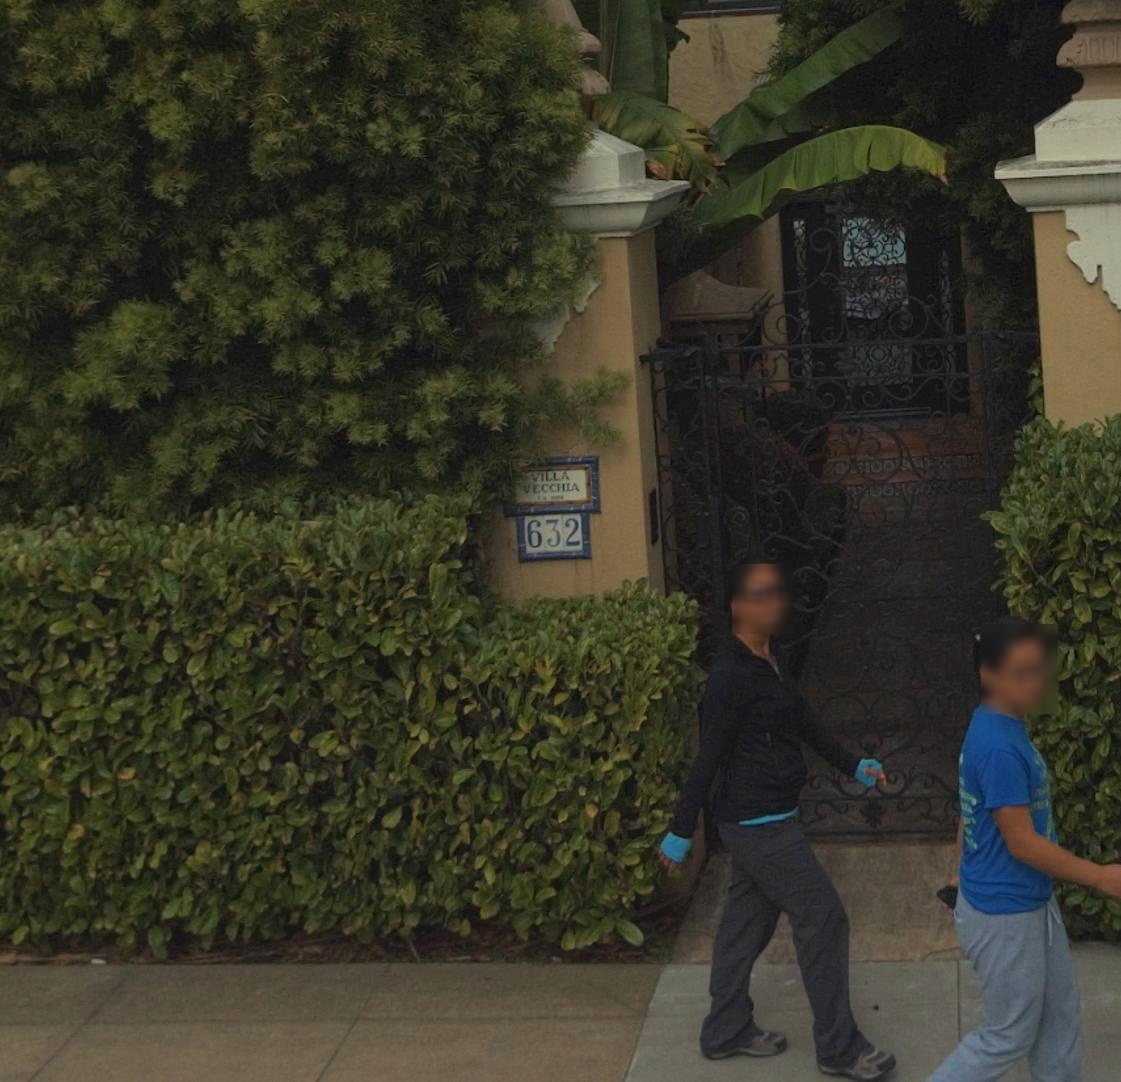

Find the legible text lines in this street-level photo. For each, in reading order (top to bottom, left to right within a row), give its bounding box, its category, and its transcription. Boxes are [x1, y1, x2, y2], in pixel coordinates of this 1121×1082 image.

[530, 470, 570, 483] None: VILLA
[520, 482, 580, 496] None: VECCHIA
[526, 517, 581, 549] StreetNumber: 632